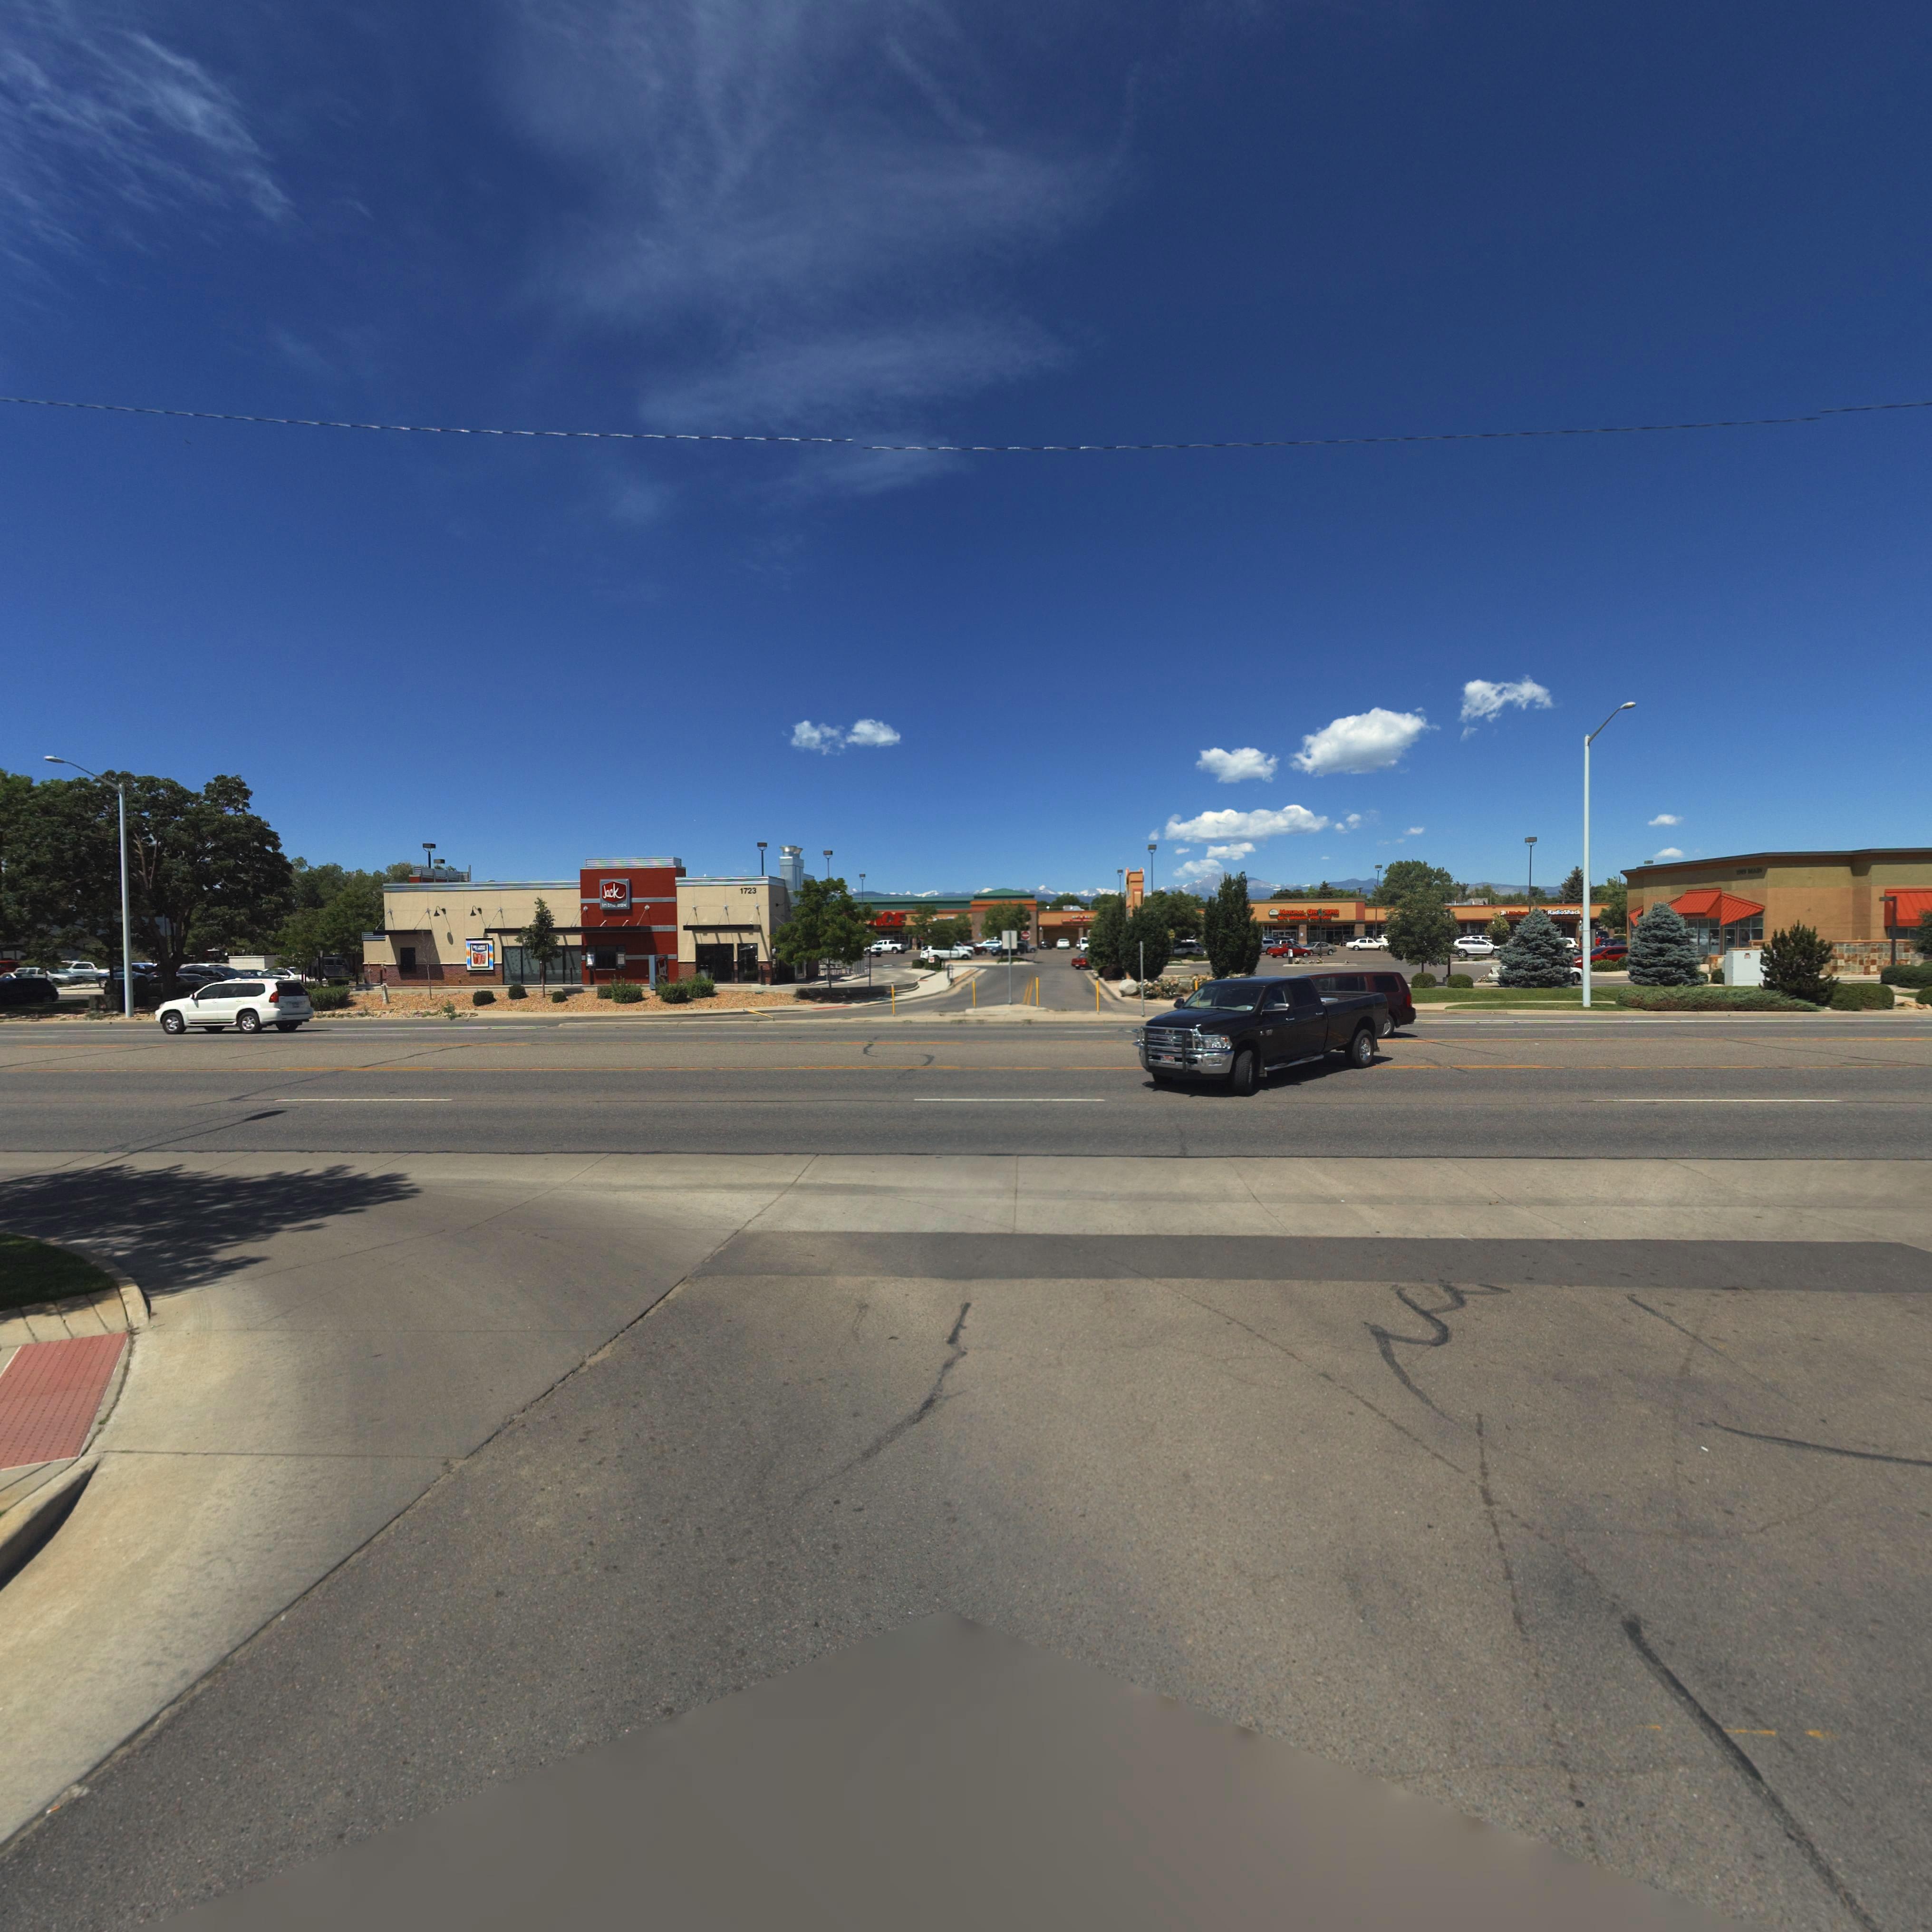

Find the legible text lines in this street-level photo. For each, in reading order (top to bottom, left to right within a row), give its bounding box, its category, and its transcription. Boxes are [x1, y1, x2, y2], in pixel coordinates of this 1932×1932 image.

[1735, 868, 1747, 875] StreetNumber: 1**9
[1748, 867, 1762, 874] StreetName: MA**
[602, 882, 625, 899] BusinessName: Jack
[739, 887, 756, 894] StreetNumber: 1723
[601, 902, 627, 908] BusinessName: In ** *ox
[1279, 908, 1340, 914] BusinessName: N**URAL GR***RS
[1547, 908, 1581, 915] BusinessName: R*d**Shack
[868, 910, 906, 927] BusinessName: *CE
[657, 959, 667, 977] BusinessName: Jac*